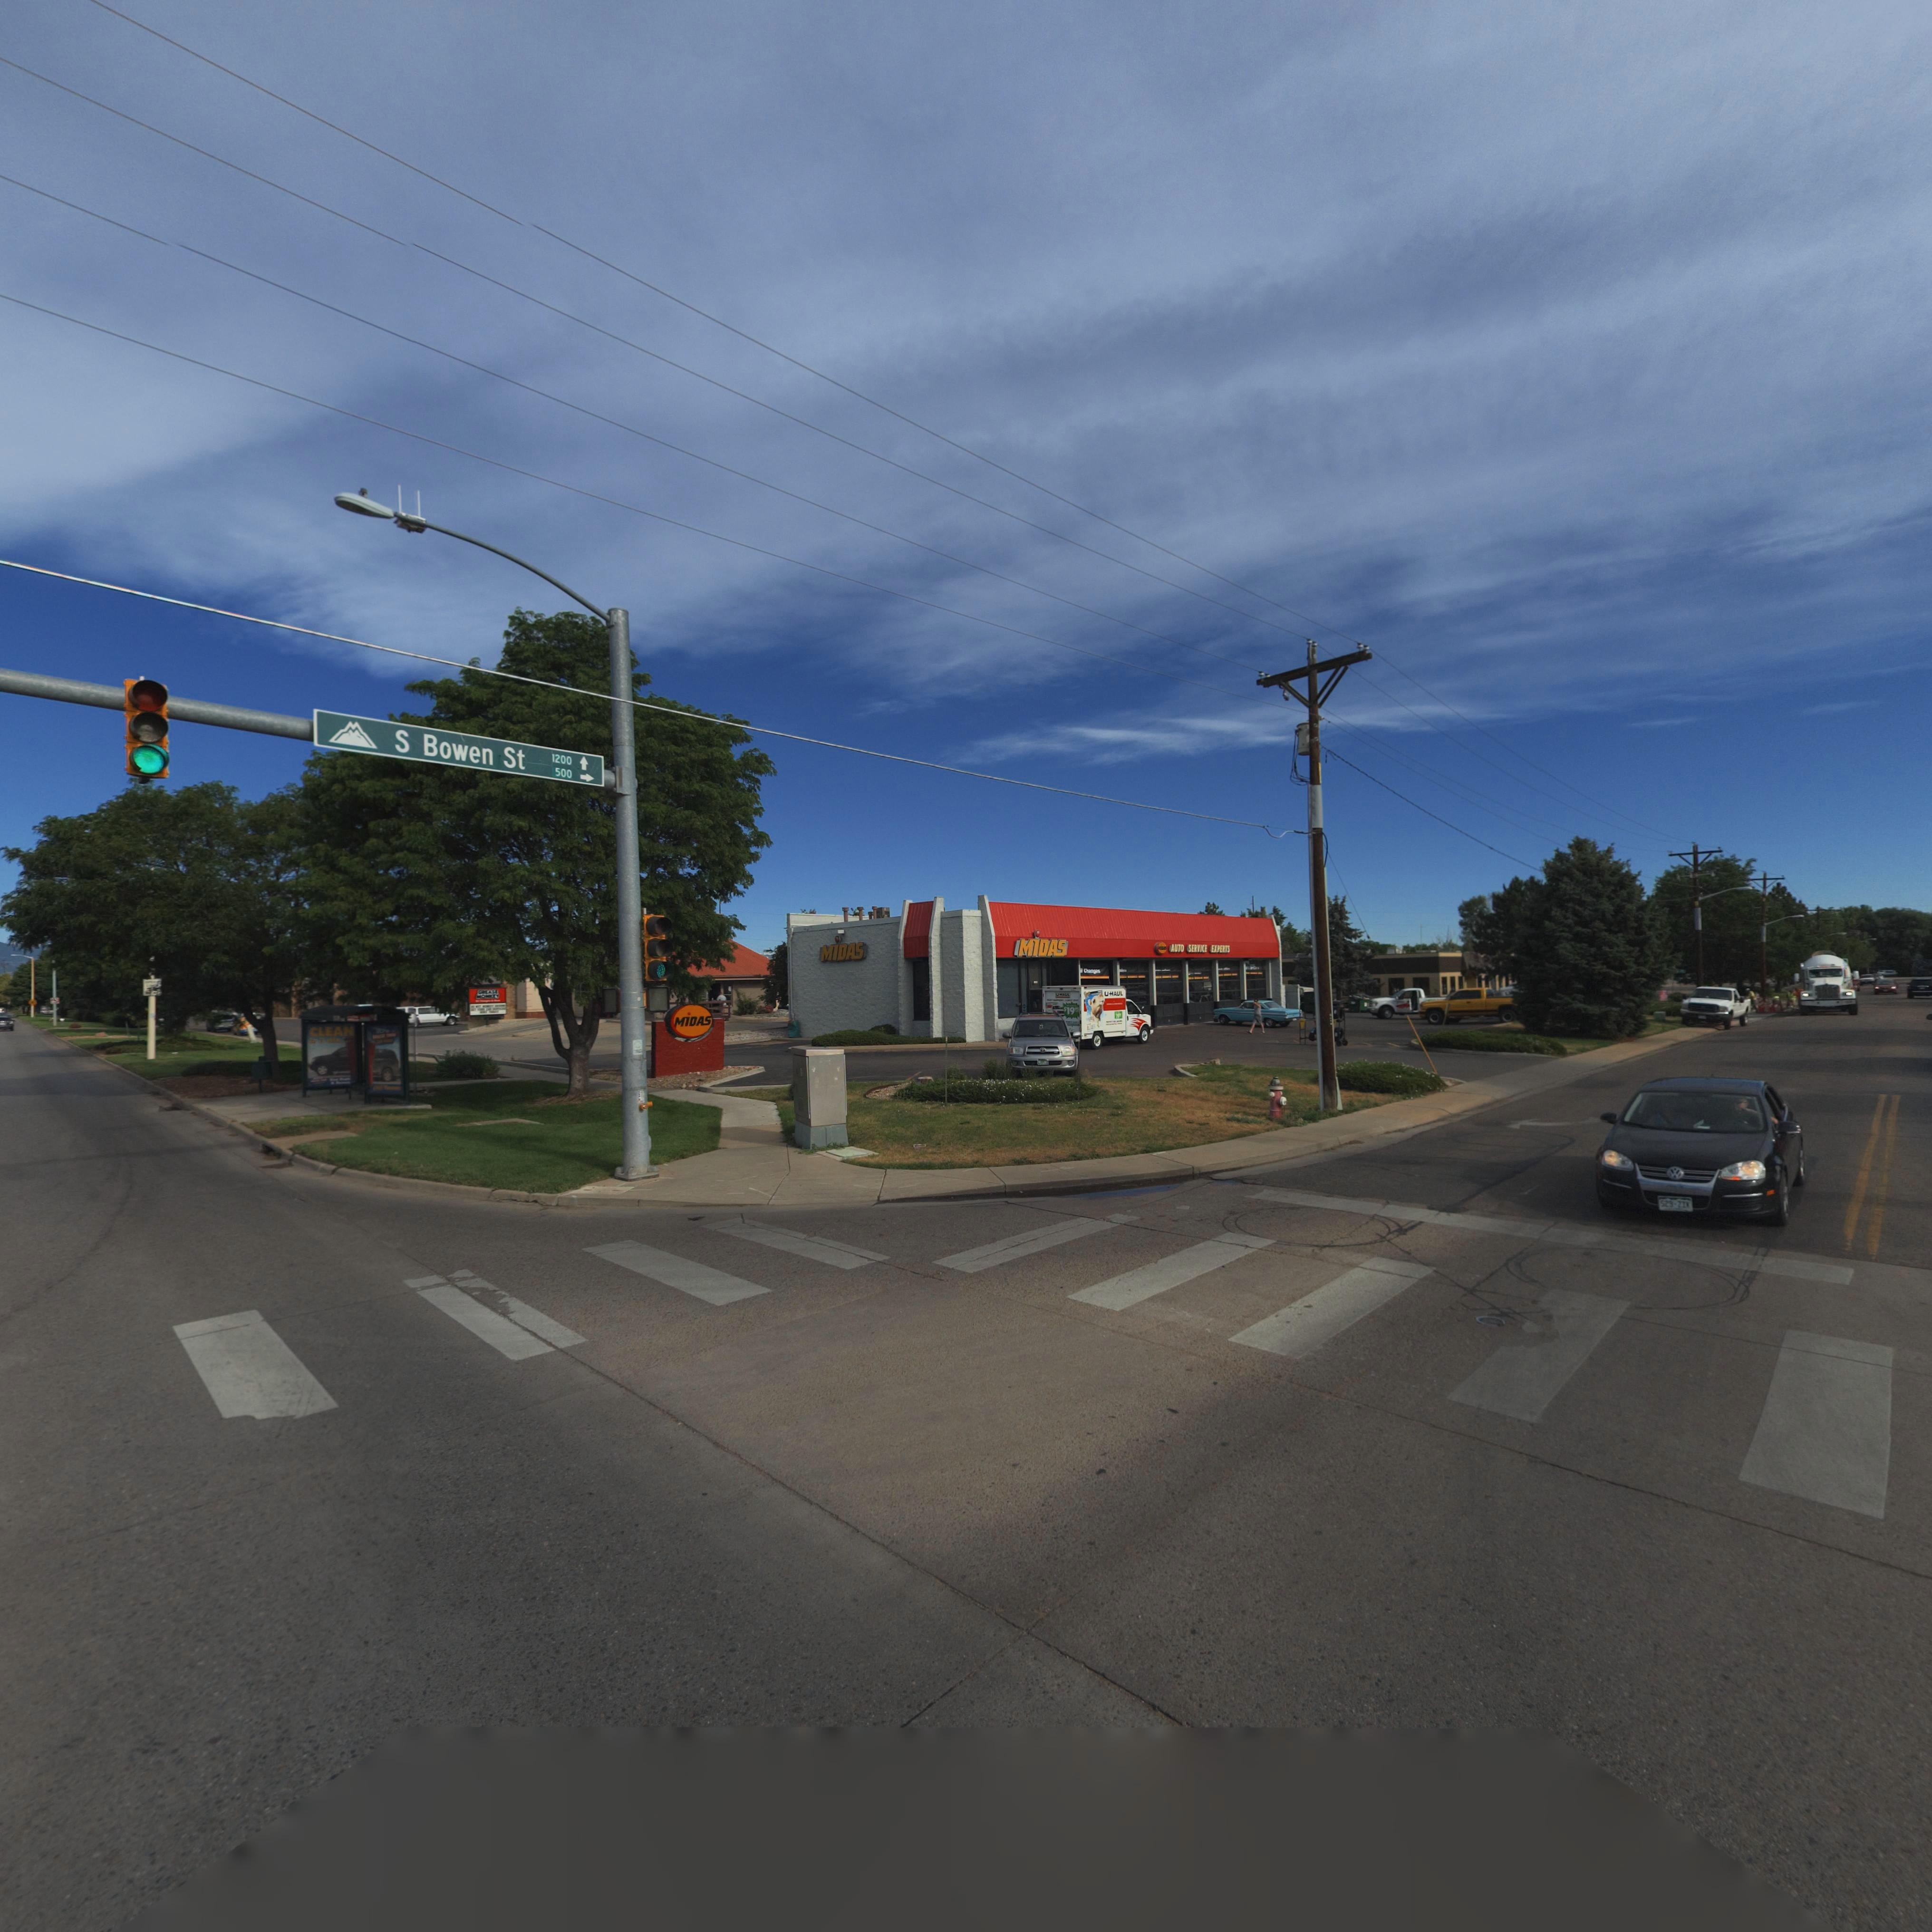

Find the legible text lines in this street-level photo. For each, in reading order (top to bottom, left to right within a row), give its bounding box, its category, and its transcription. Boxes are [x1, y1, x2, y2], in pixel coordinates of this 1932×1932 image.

[394, 728, 527, 771] StreetName: S Bowen St
[551, 753, 572, 765] StreetNumberRange: 1200
[554, 766, 595, 782] StreetNumberRange: 500->
[820, 935, 864, 962] BusinessName: MiDAS
[1018, 929, 1066, 956] BusinessName: MiDAS
[477, 989, 498, 994] BusinessName: G*EASE
[476, 994, 500, 998] BusinessName: MO**EY
[673, 1011, 712, 1027] BusinessName: MiDAS